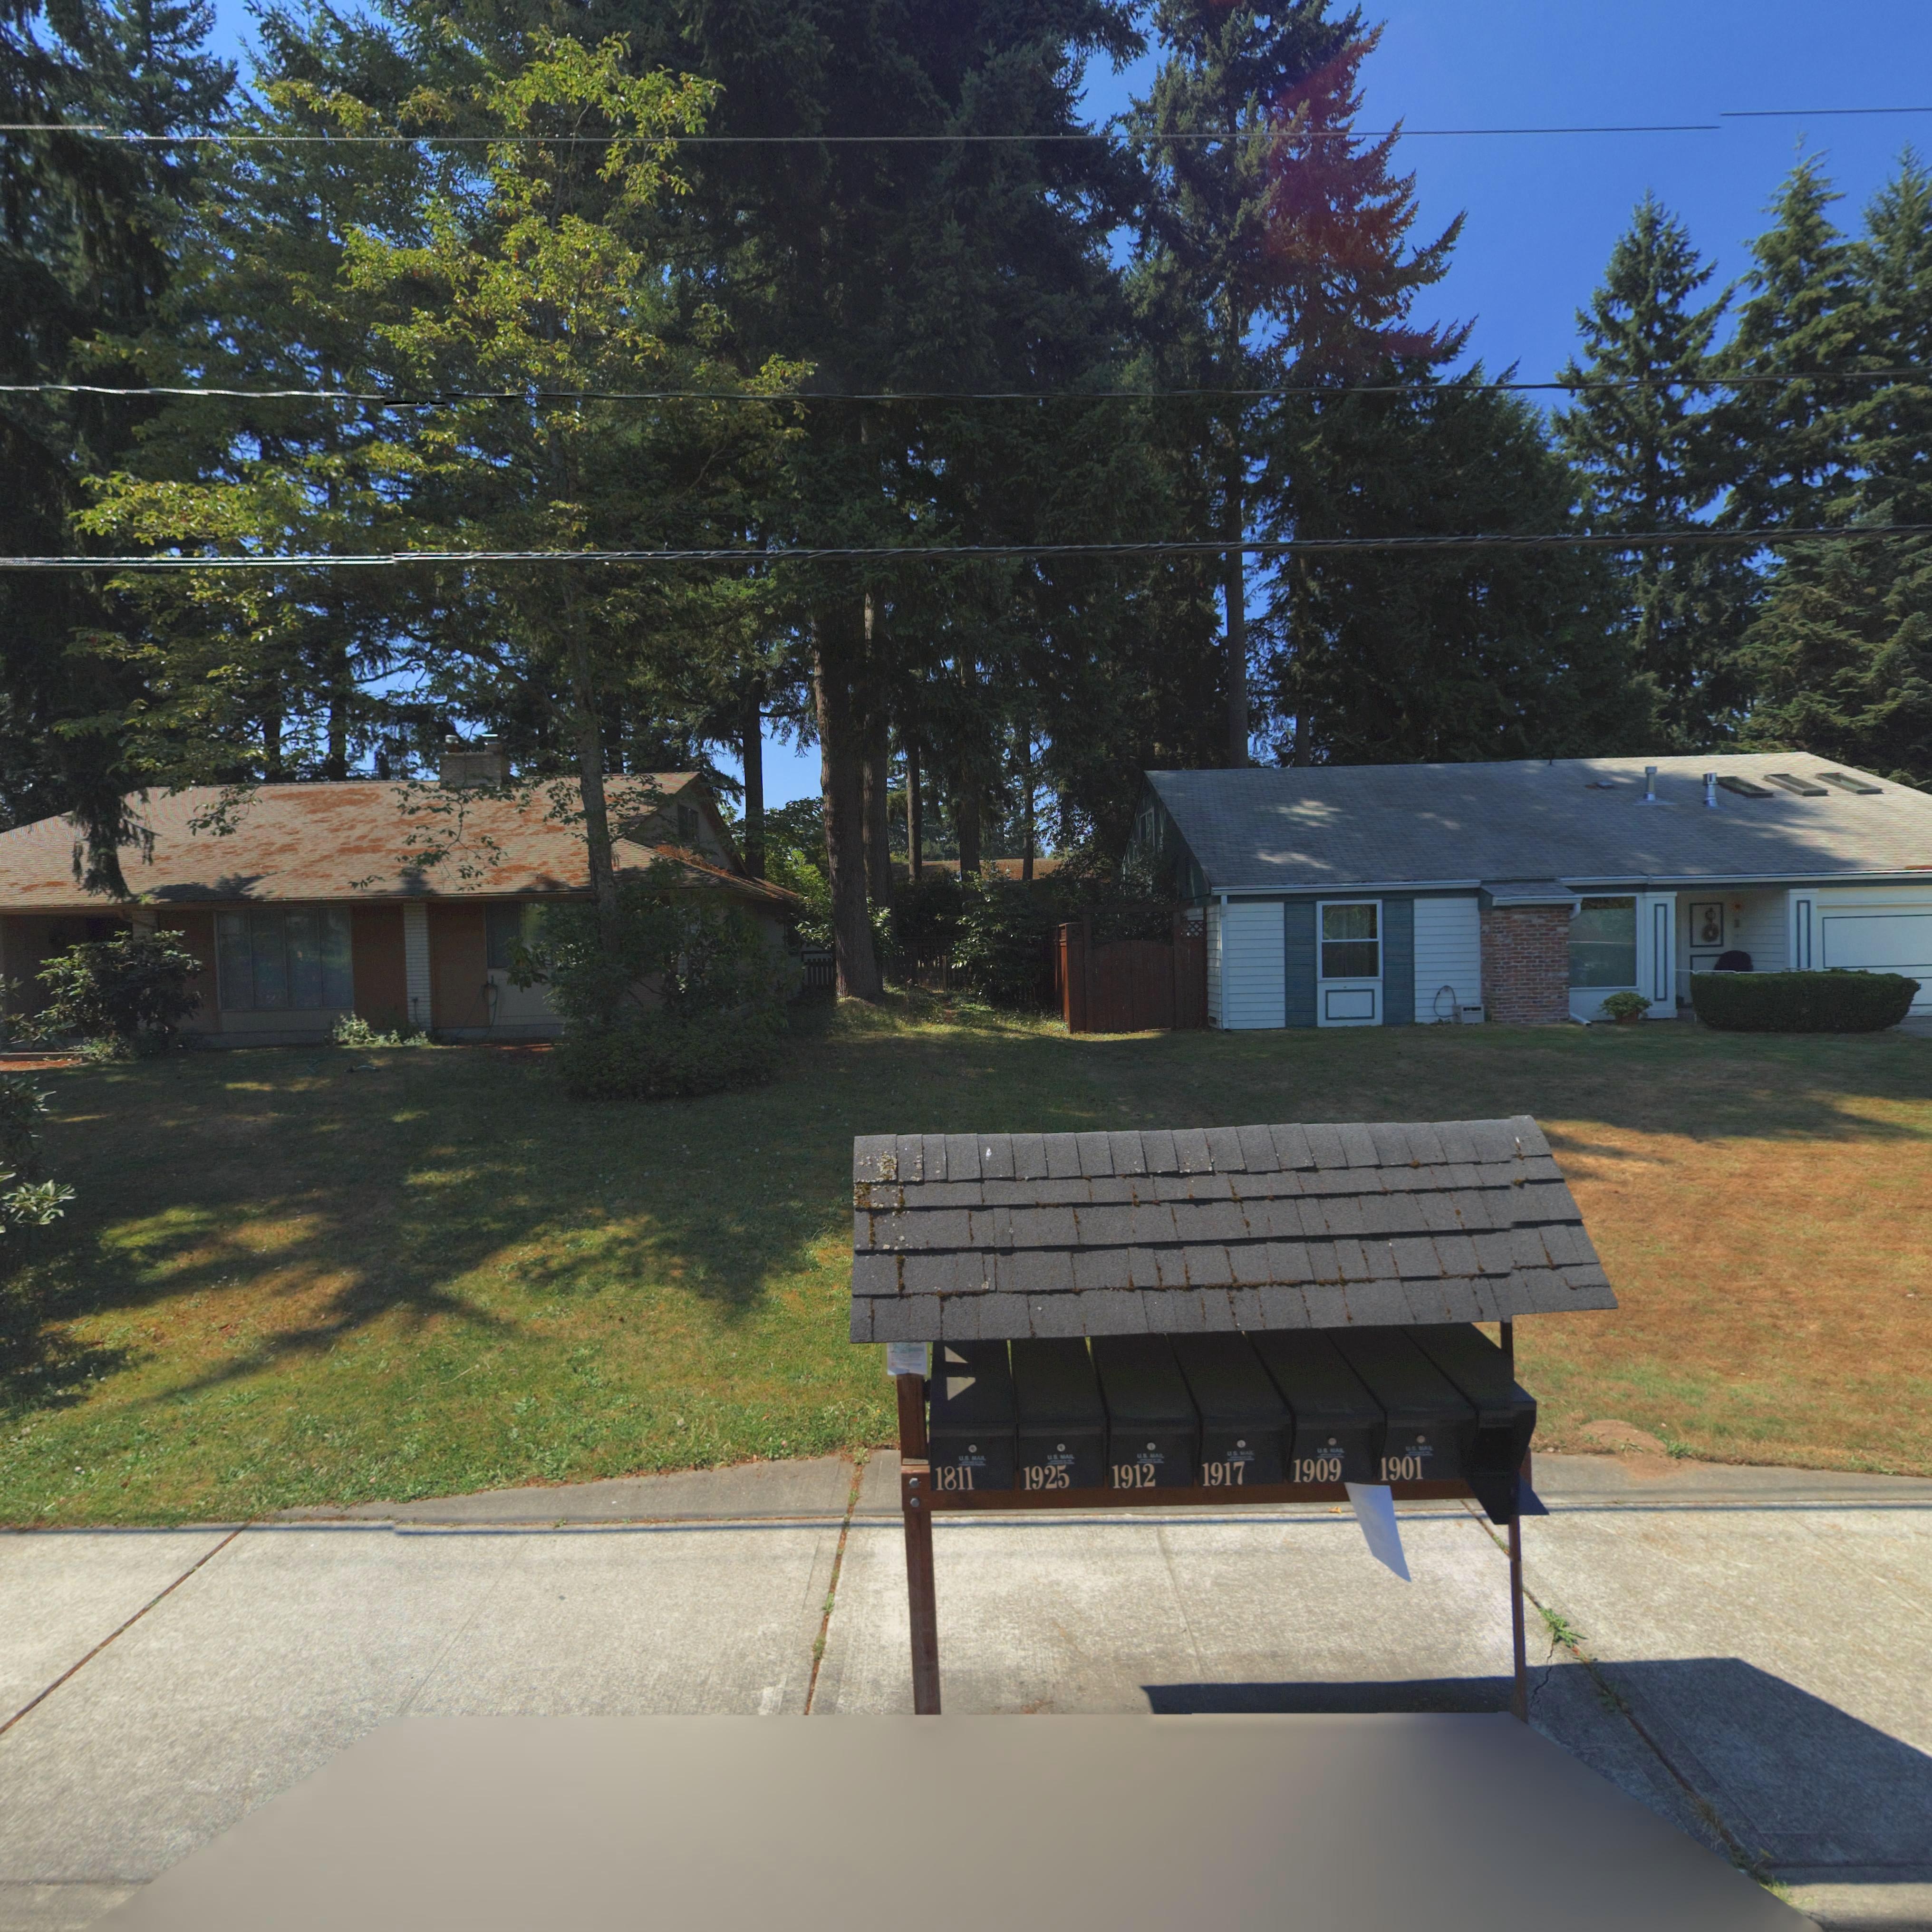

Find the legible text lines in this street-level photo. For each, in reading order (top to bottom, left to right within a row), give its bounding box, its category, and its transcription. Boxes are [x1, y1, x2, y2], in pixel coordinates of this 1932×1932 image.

[934, 1465, 973, 1491] StreetNumber: 1811
[1023, 1464, 1070, 1491] StreetNumber: 1925
[1111, 1463, 1156, 1488] StreetNumber: 1912
[1200, 1460, 1245, 1487] StreetNumber: 1917
[1292, 1457, 1342, 1482] StreetNumber: 1909
[1380, 1455, 1424, 1481] StreetNumber: 1901